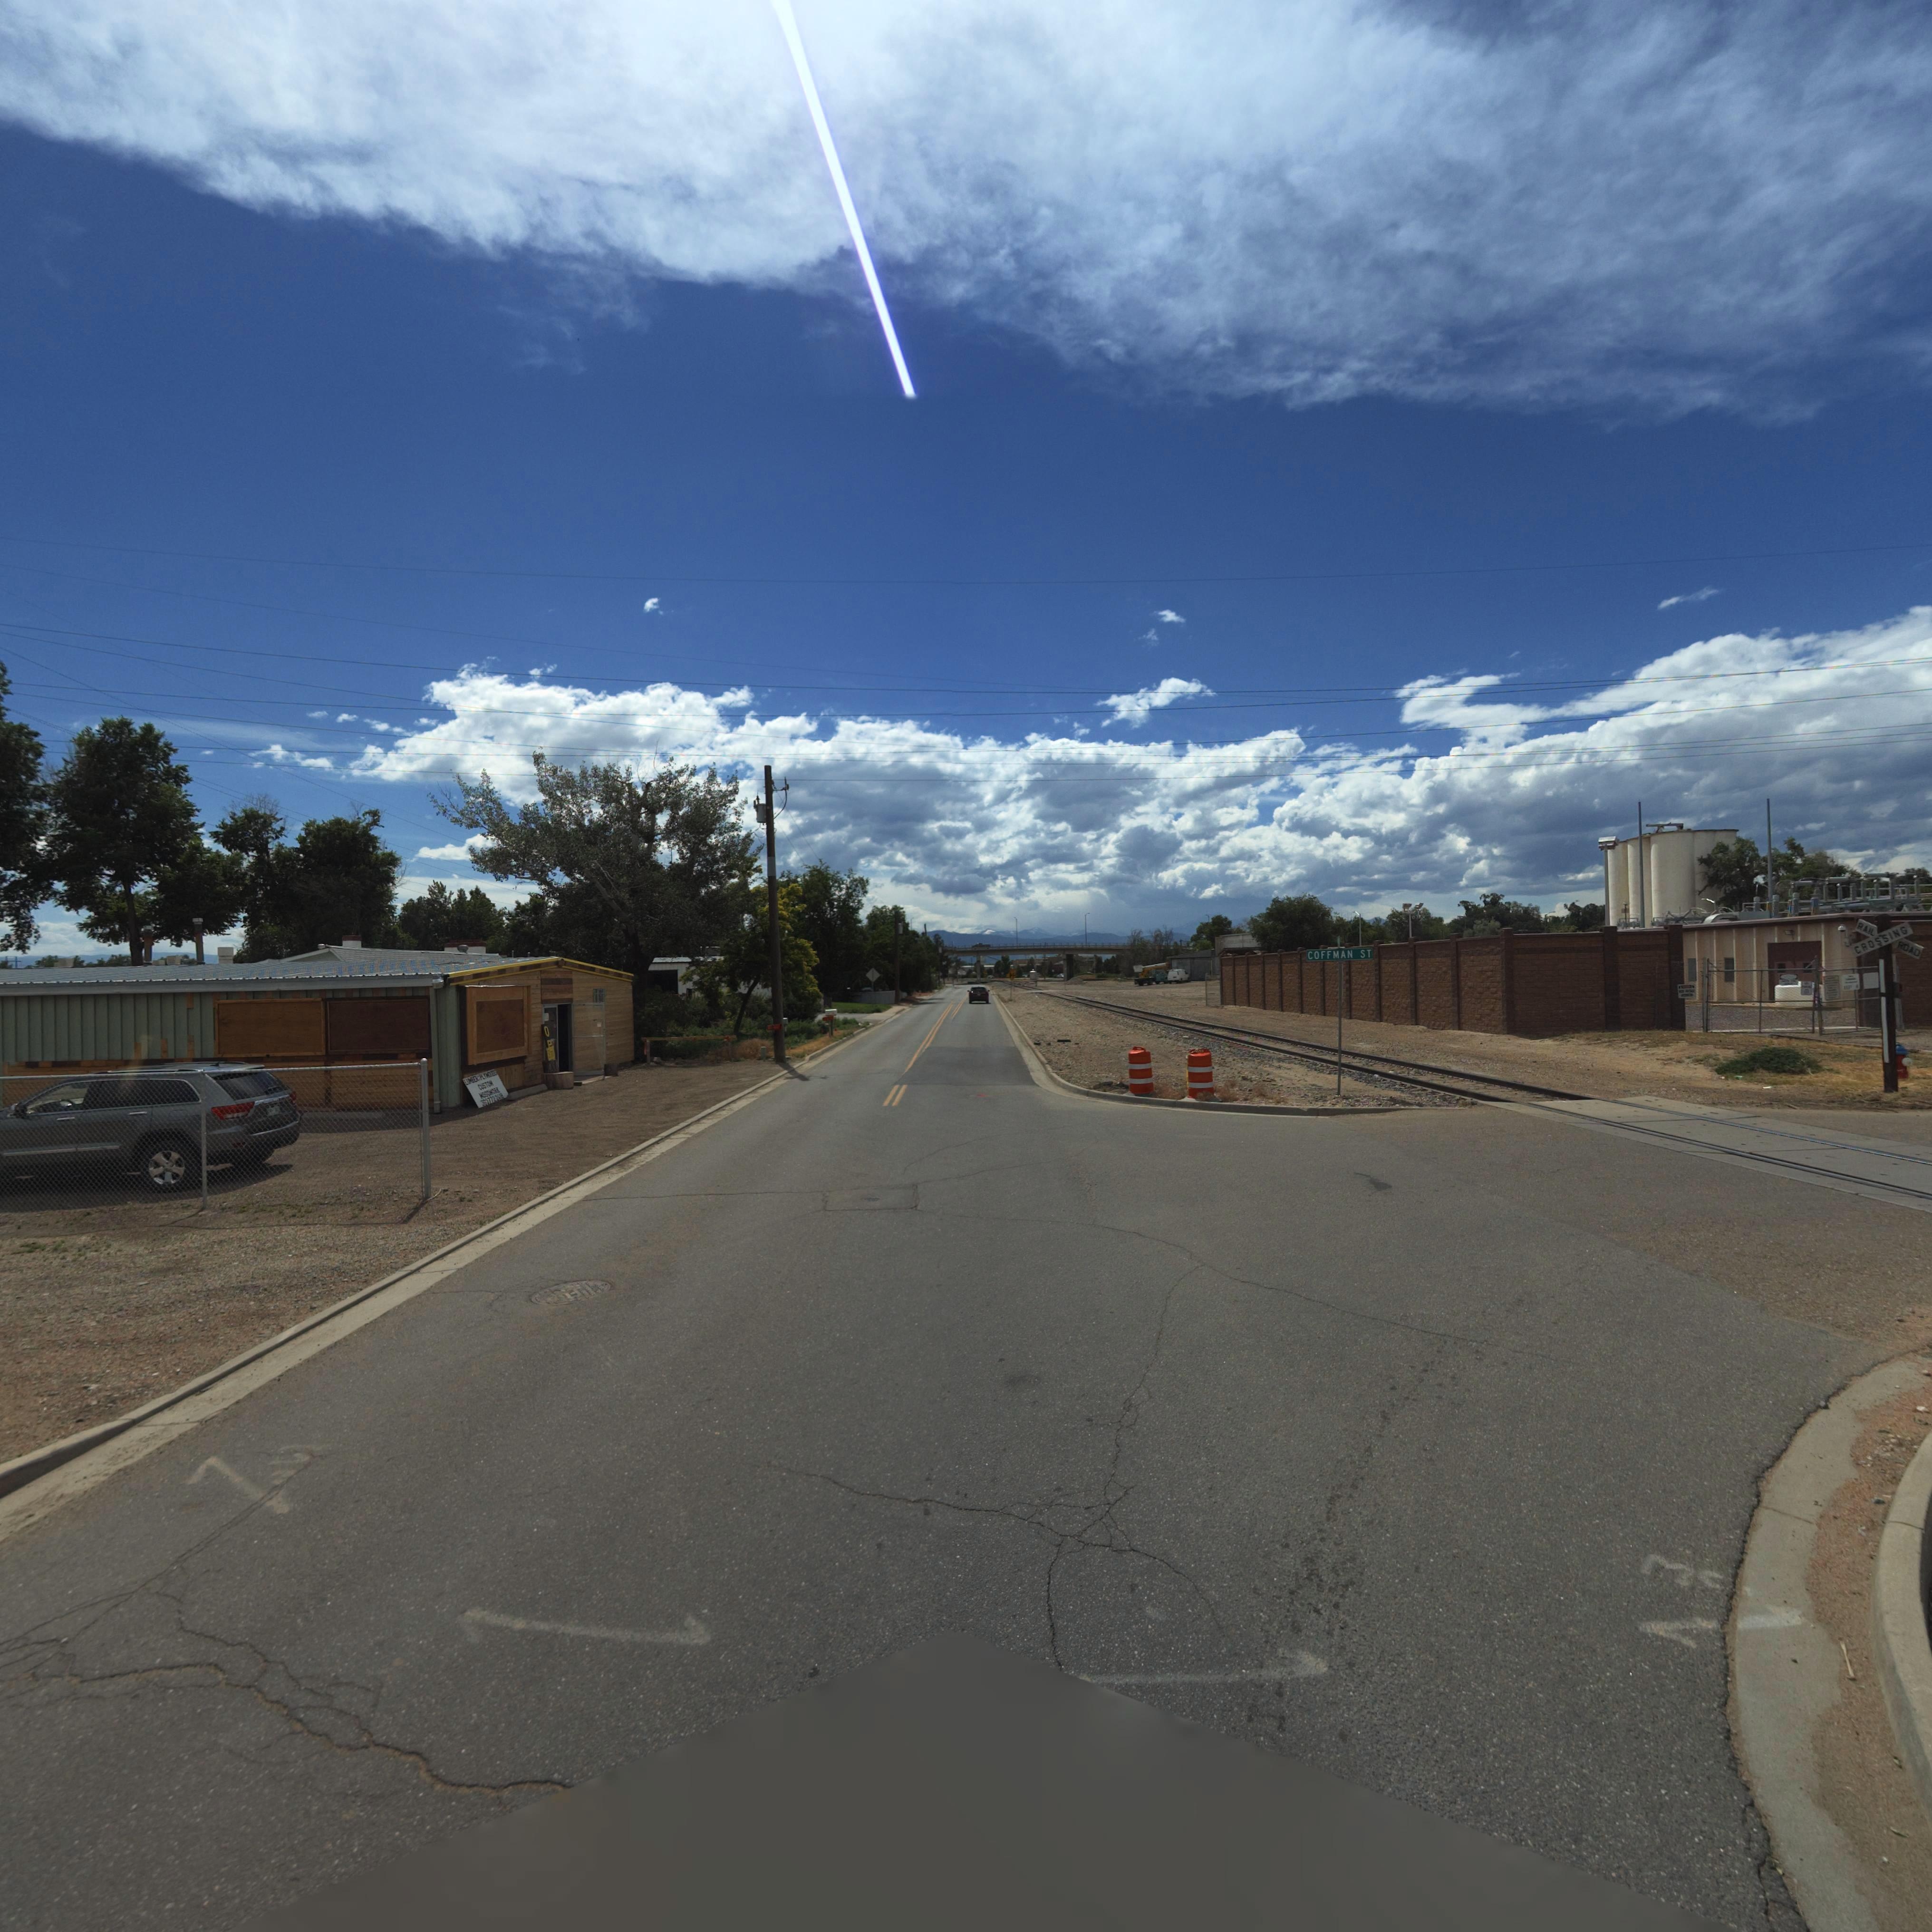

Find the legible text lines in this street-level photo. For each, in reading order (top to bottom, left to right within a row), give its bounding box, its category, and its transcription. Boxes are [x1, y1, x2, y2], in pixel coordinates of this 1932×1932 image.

[1307, 949, 1371, 959] StreetName: COFFMAN ST